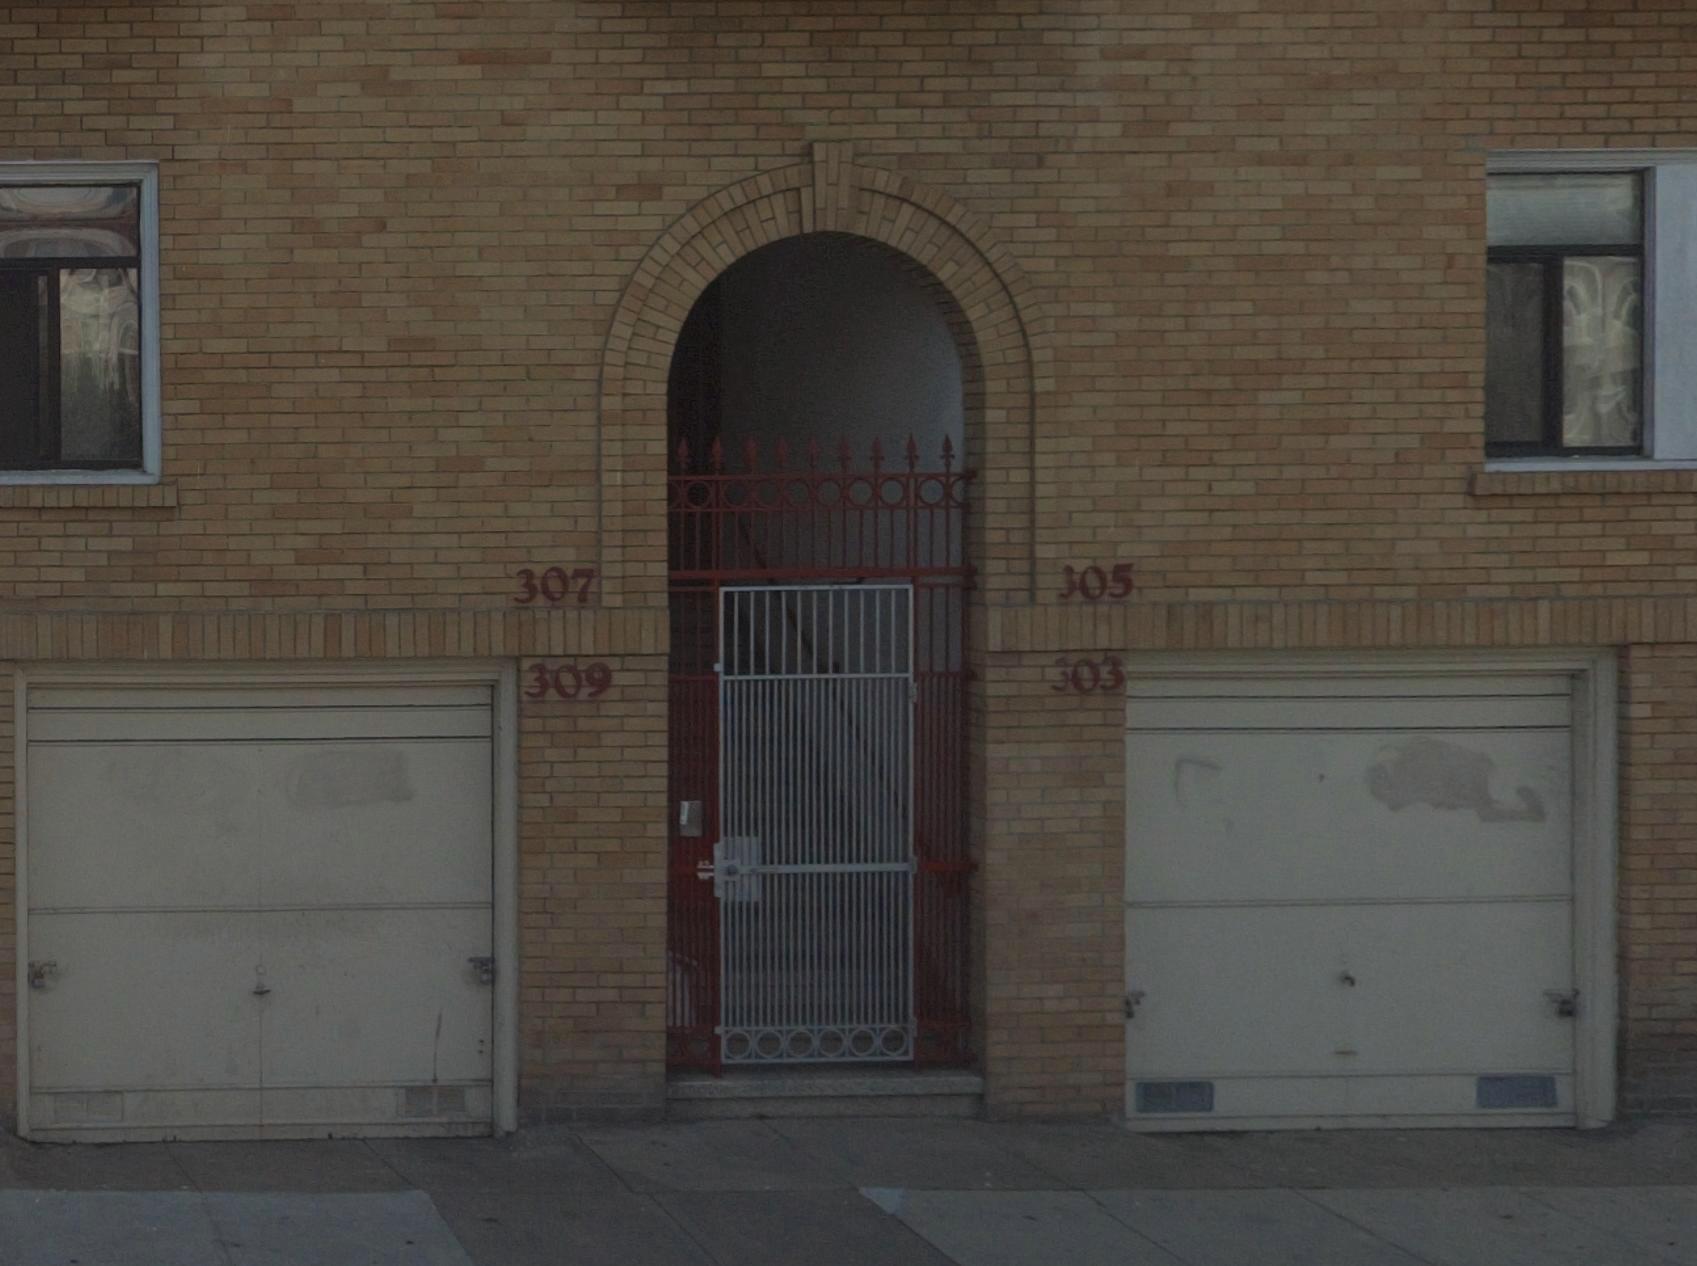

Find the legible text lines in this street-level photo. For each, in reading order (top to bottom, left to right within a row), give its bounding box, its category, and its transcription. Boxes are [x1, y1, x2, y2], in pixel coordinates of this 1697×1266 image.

[512, 566, 600, 606] StreetNumber: 307
[1054, 561, 1136, 600] StreetNumber: 305
[523, 661, 614, 700] StreetNumber: 309
[1050, 654, 1127, 694] StreetNumber: 303